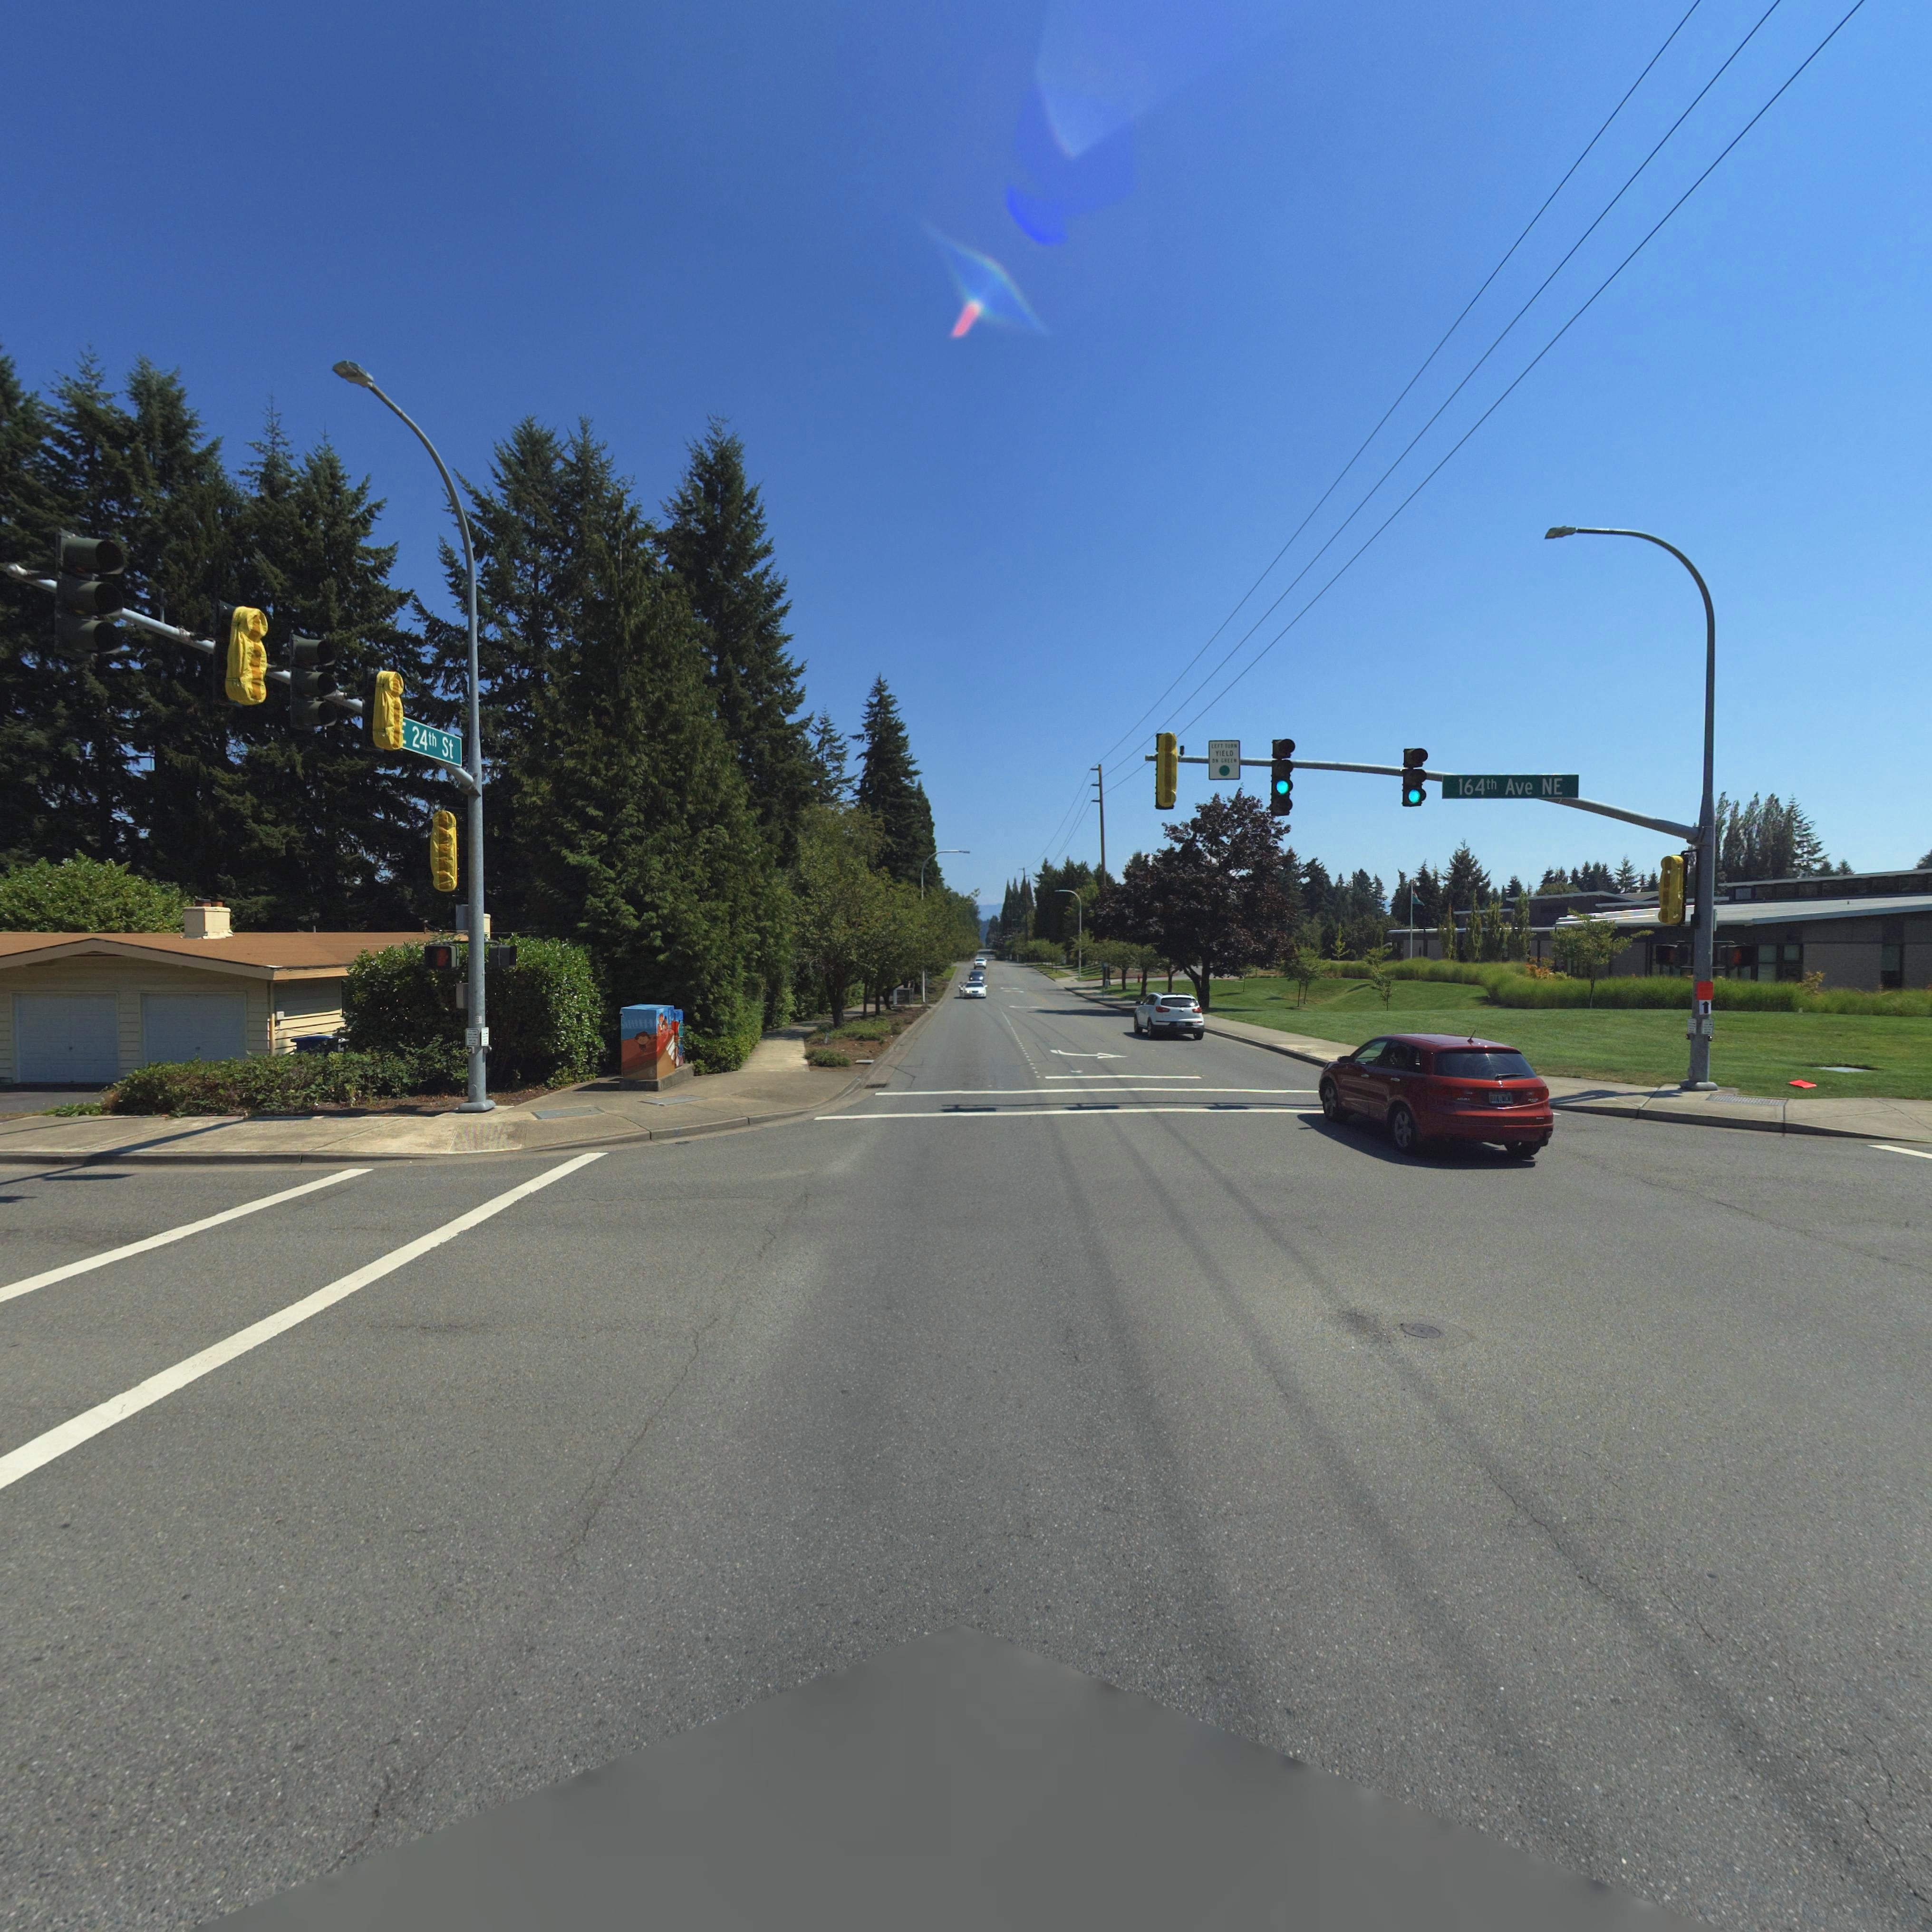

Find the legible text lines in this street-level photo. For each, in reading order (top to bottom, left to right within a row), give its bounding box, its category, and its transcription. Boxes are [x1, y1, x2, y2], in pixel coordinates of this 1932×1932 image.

[412, 725, 454, 760] StreetName: 24th St
[1459, 778, 1562, 794] StreetName: 164th Ave NE